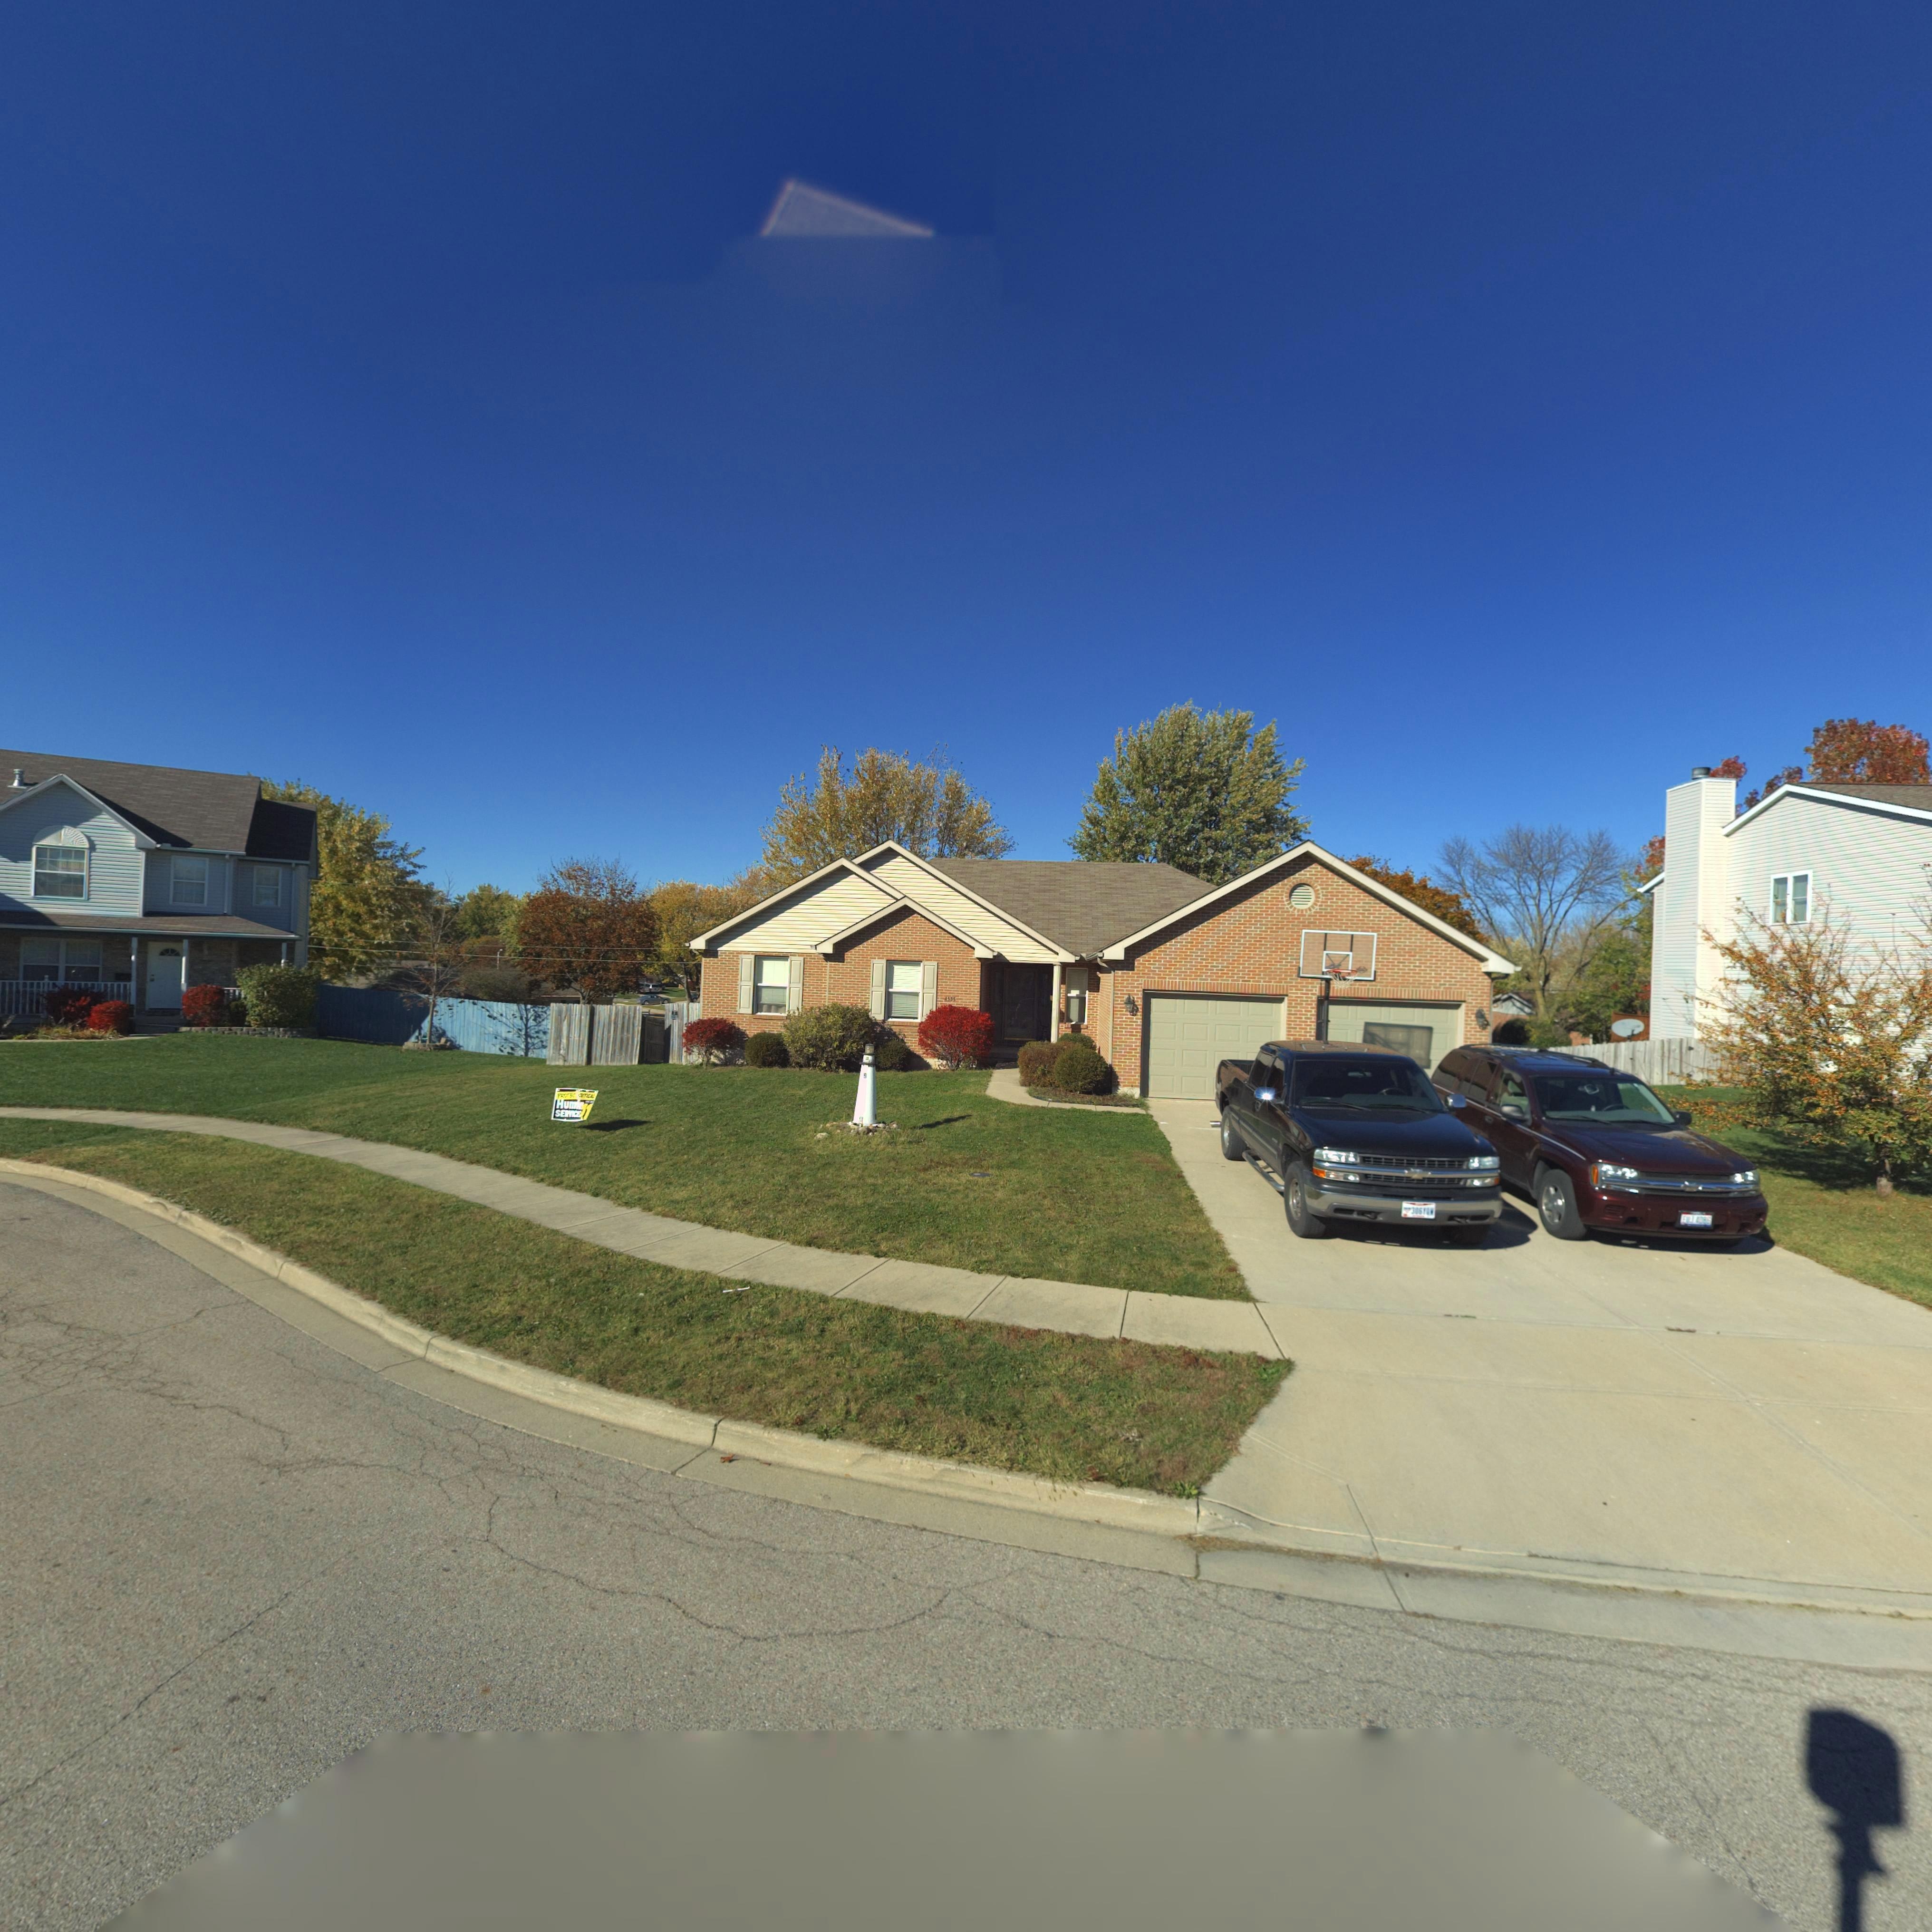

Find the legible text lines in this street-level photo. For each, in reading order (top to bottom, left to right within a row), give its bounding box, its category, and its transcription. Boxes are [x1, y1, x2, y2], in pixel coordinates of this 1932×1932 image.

[944, 995, 957, 1003] StreetNumber: 4**5
[555, 1098, 585, 1110] None: Hum**
[553, 1109, 583, 1119] None: SERVICE
[577, 1102, 594, 1121] None: 11
[1410, 1206, 1427, 1215] None: 306Y
[1681, 1215, 1711, 1226] None: E*J*4086